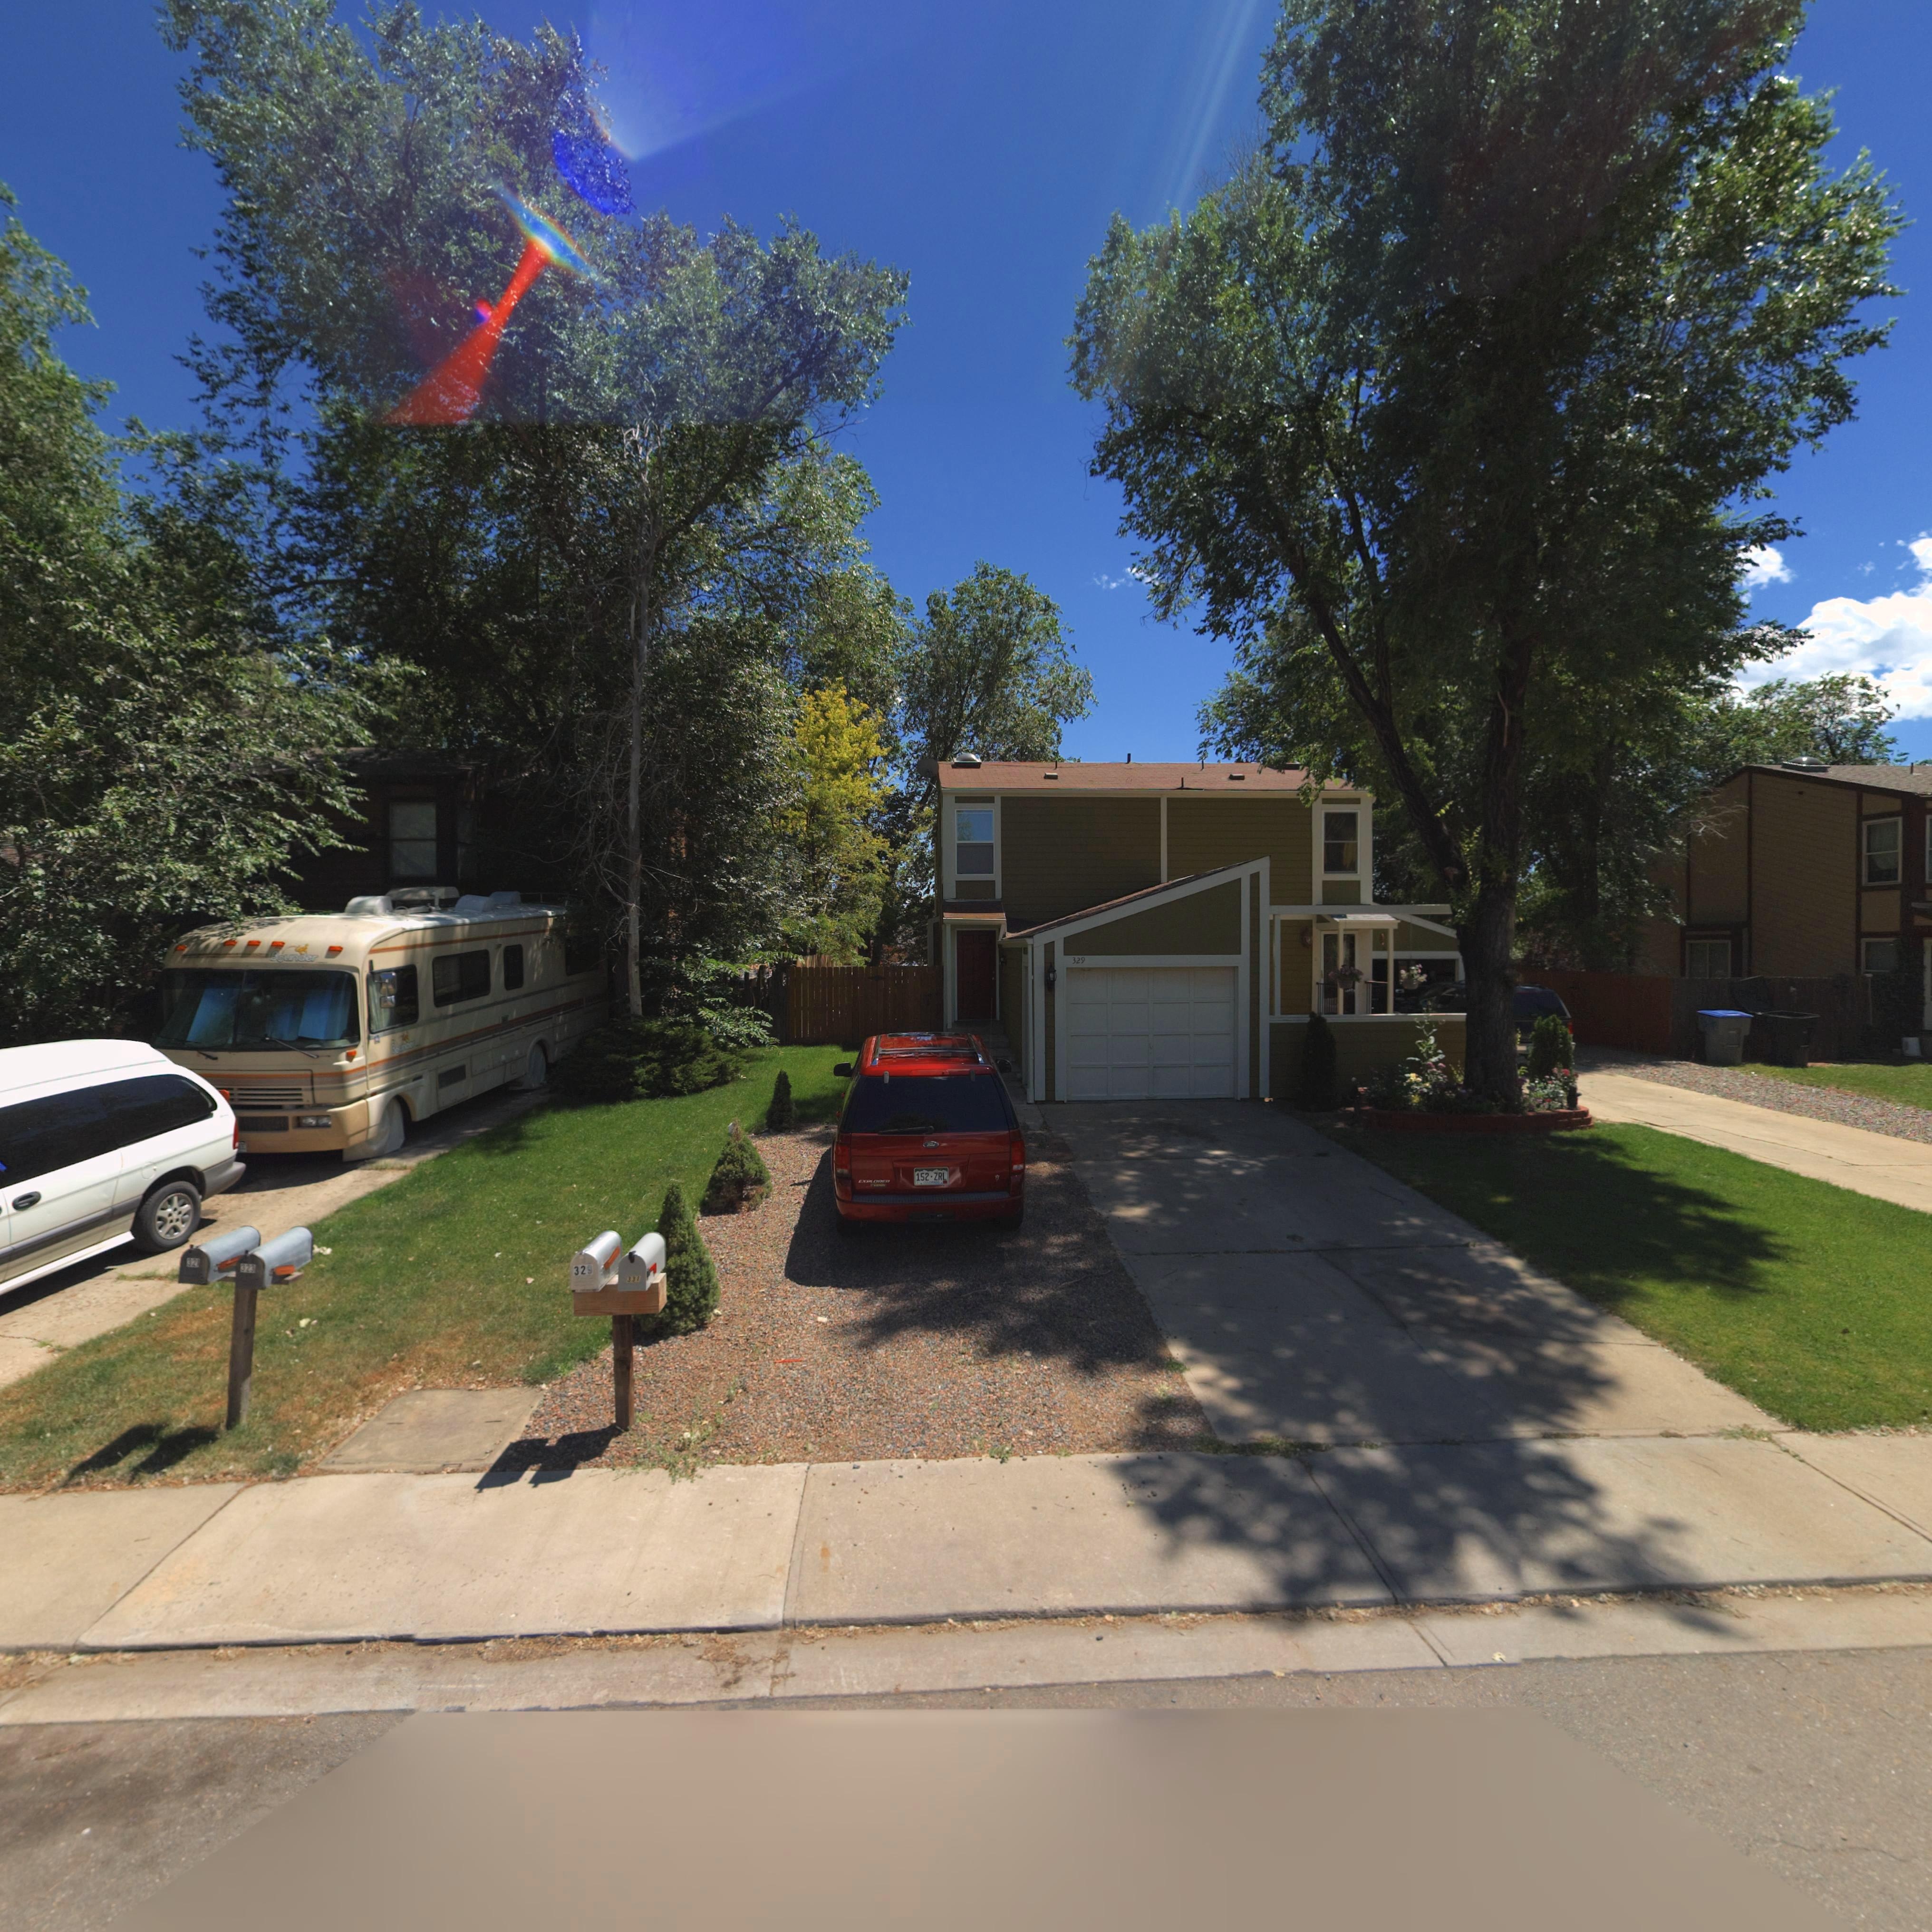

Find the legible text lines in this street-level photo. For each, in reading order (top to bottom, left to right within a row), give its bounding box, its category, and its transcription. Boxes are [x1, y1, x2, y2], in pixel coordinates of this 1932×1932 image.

[1072, 956, 1085, 964] StreetNumber: 329
[186, 1257, 201, 1267] StreetNumber: 321
[240, 1263, 255, 1273] StreetNumber: 323
[573, 1264, 592, 1275] StreetNumber: 32*
[626, 1275, 640, 1282] StreetNumber: 331